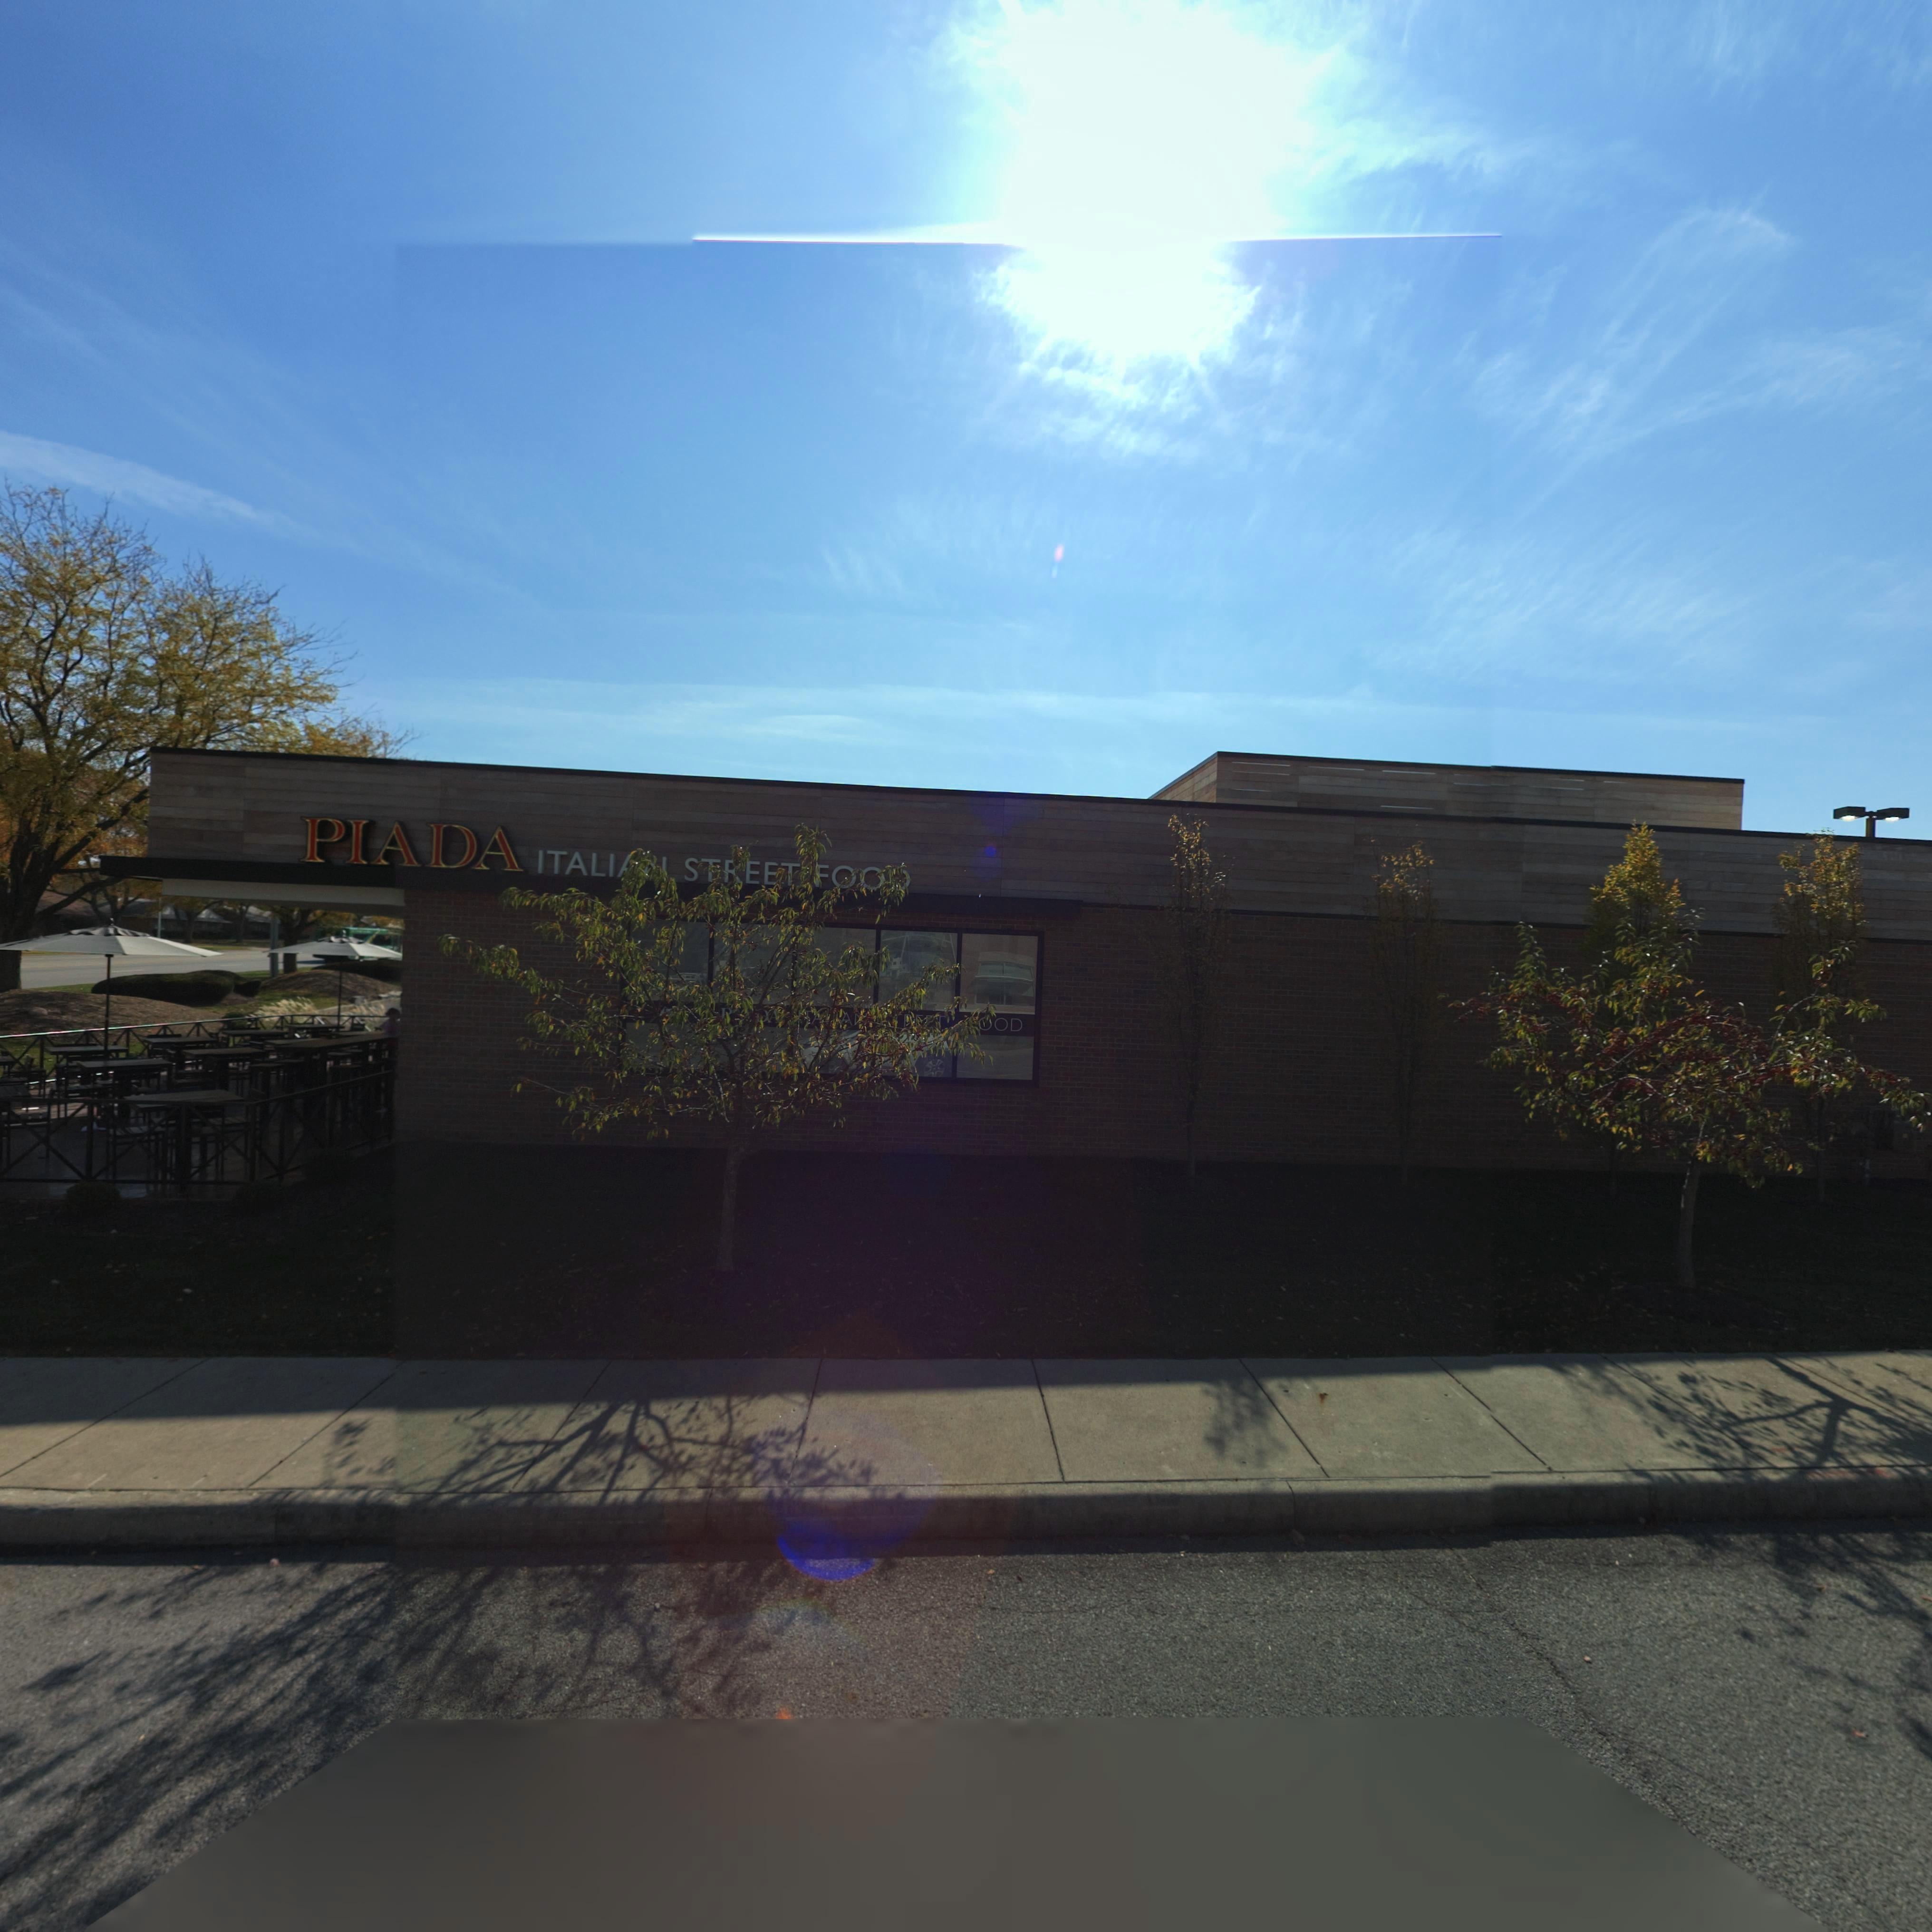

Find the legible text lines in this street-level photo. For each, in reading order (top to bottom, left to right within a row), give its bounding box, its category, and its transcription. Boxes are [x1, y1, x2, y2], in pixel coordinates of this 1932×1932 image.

[297, 811, 916, 895] BusinessName: PIADA ITALI** S**EET *OO*
[993, 1017, 1024, 1032] BusinessName: OD